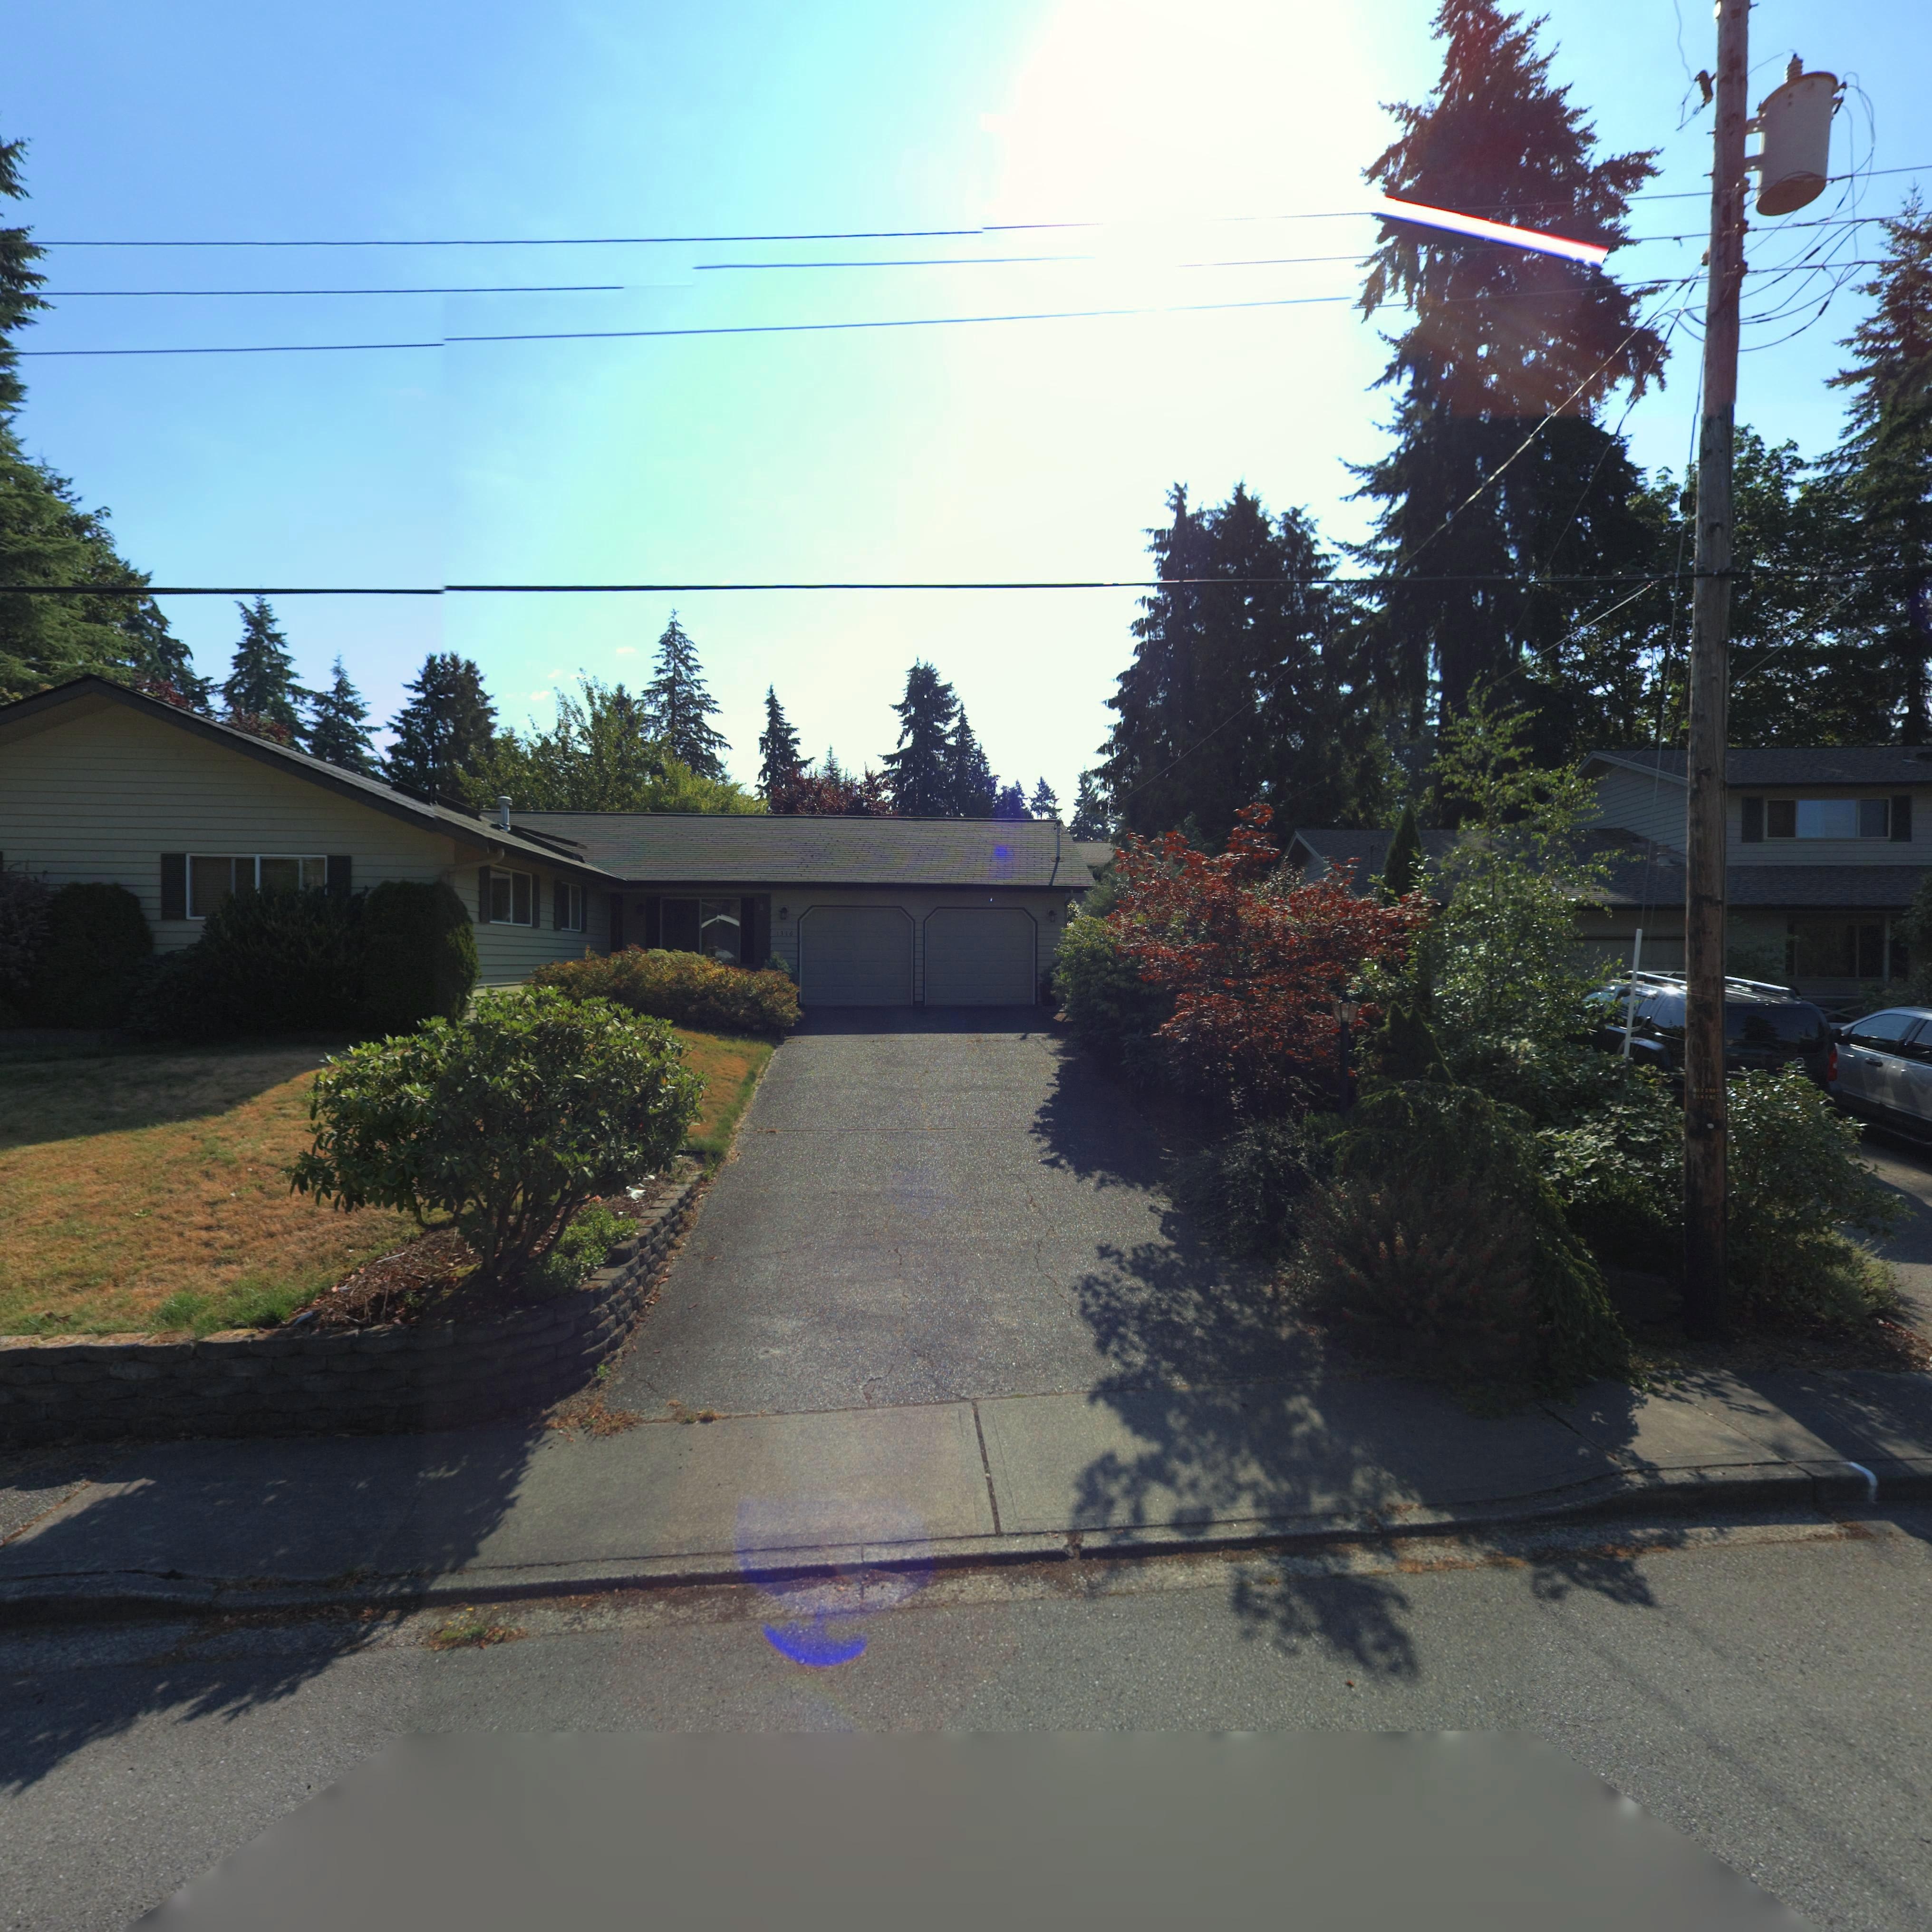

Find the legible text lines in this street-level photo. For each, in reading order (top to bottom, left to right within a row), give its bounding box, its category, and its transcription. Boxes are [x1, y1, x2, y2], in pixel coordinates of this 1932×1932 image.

[775, 930, 793, 937] StreetNumber: 1316